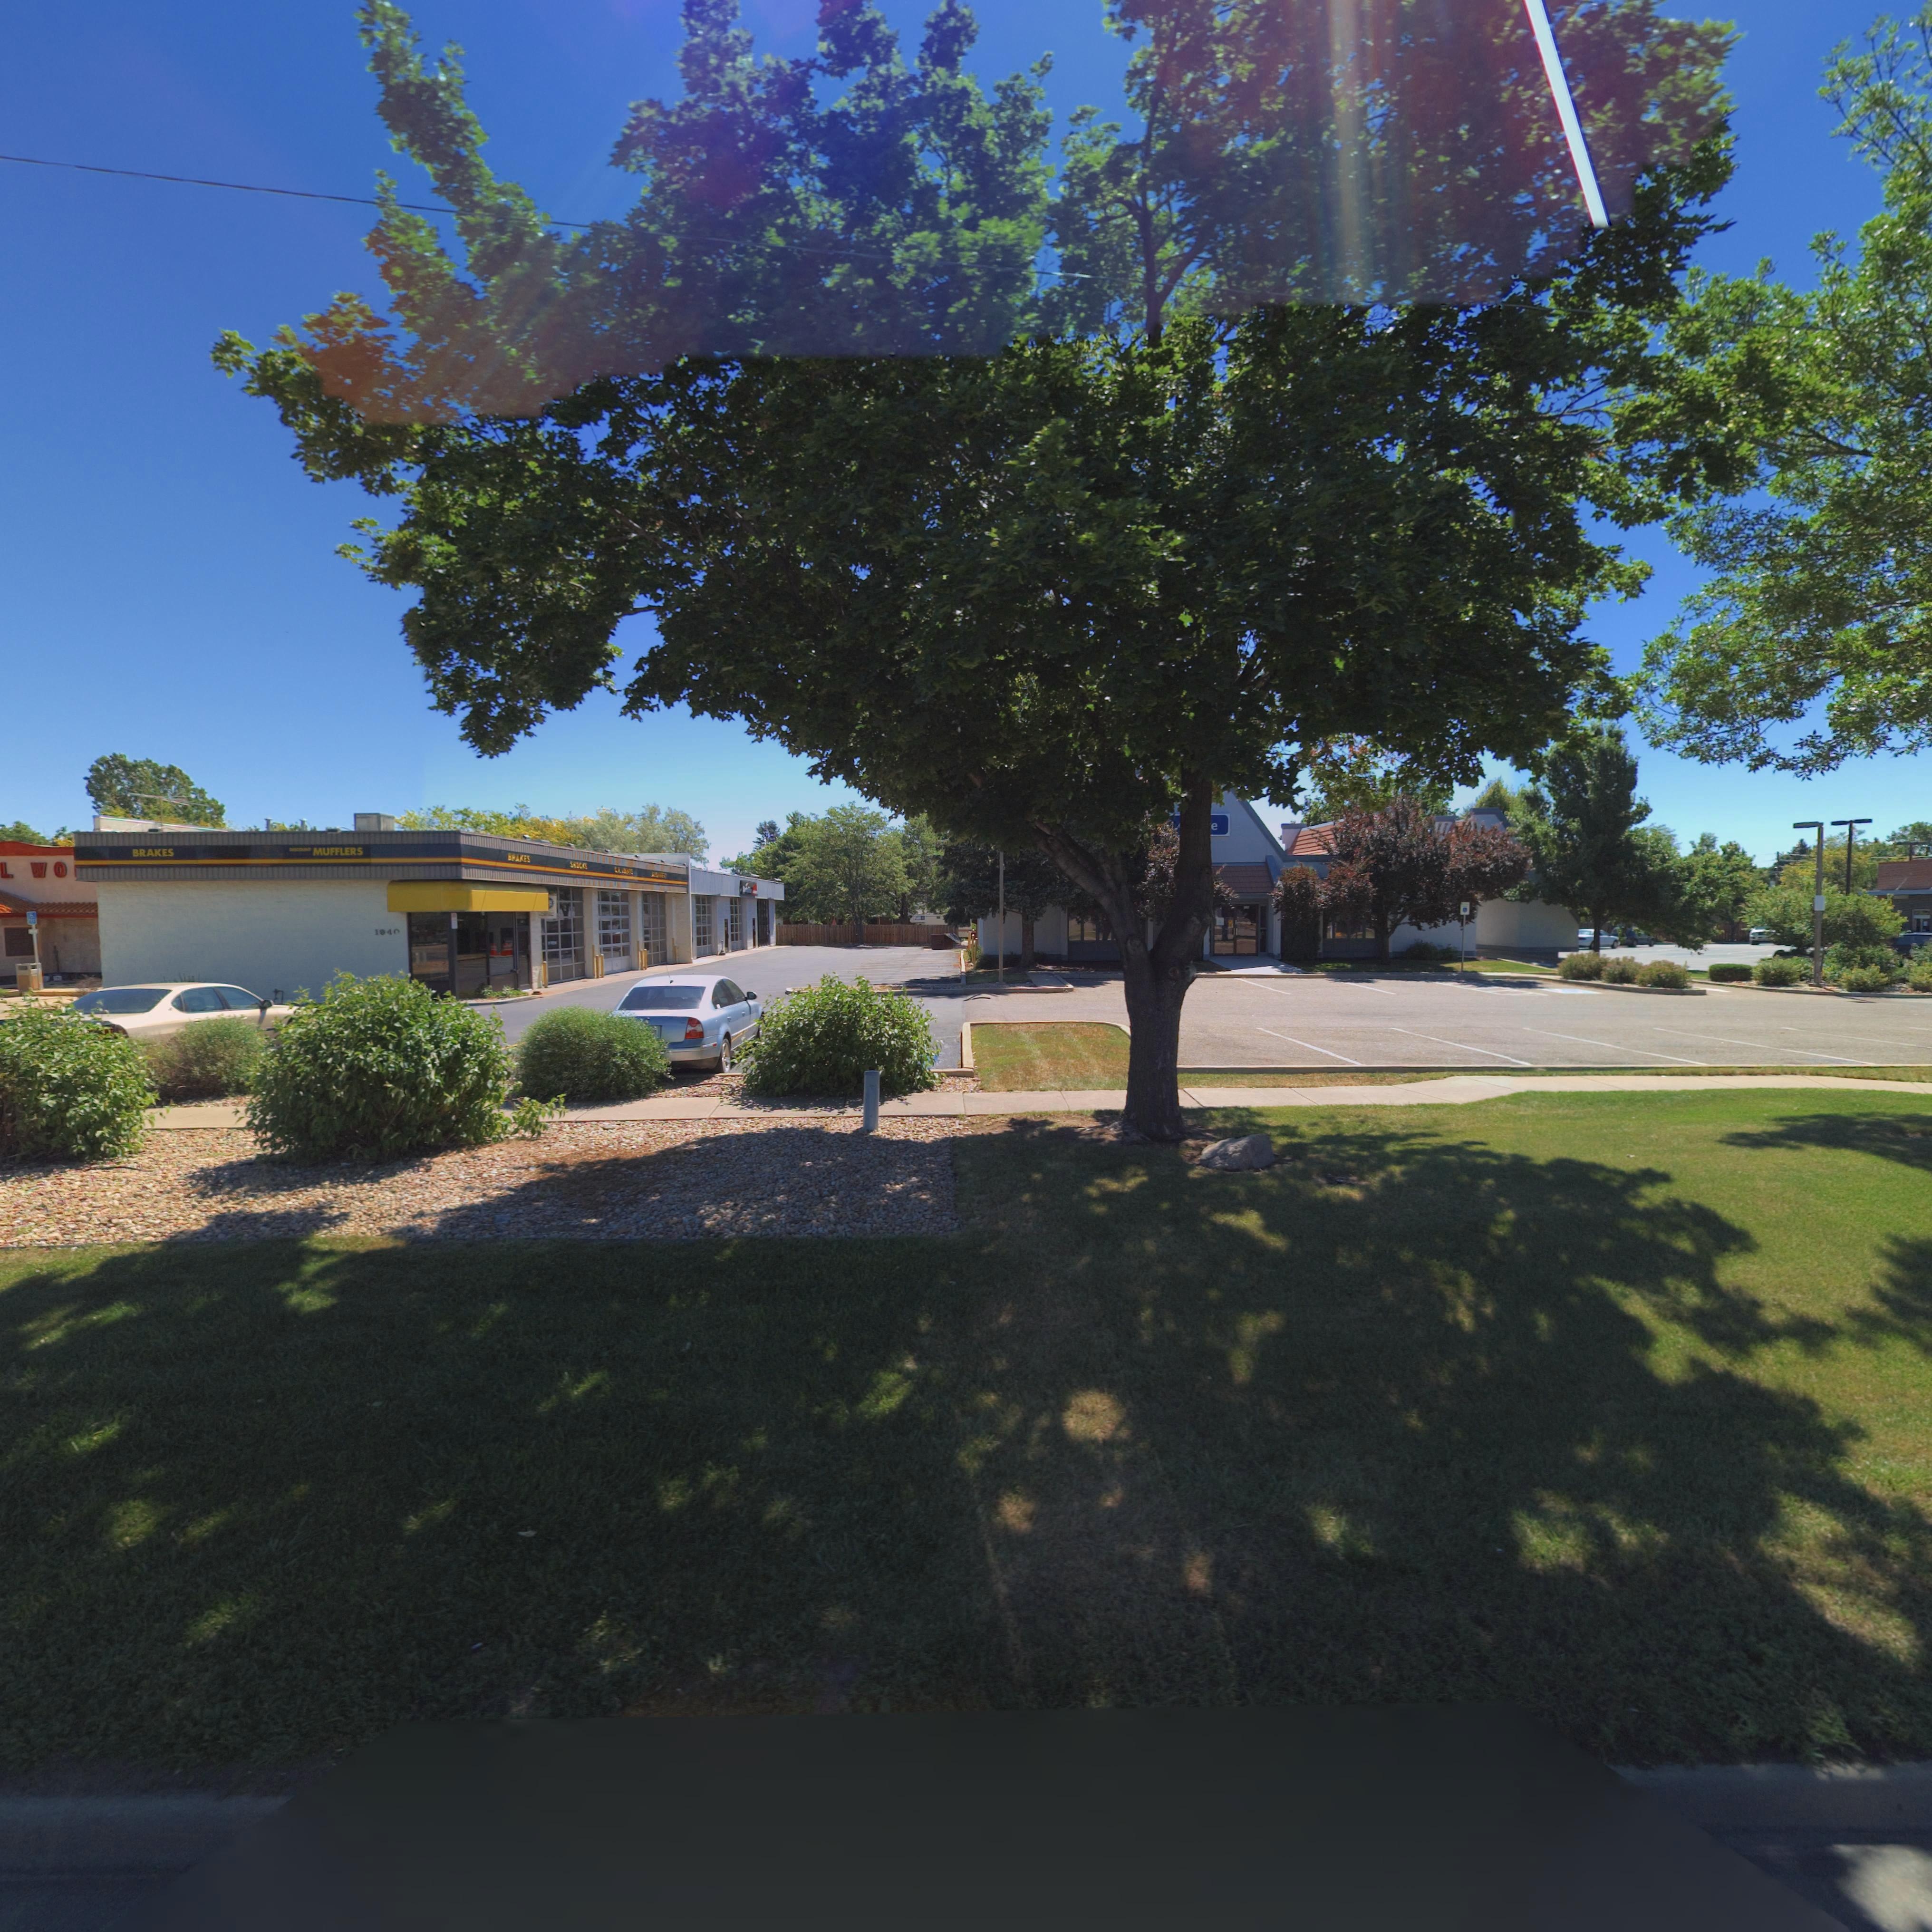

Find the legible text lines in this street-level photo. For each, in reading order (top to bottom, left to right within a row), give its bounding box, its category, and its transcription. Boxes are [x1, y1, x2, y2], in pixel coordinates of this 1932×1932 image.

[1210, 822, 1217, 831] BusinessName: e
[0, 861, 68, 879] BusinessName: L WO
[374, 928, 400, 936] StreetNumber: 1940